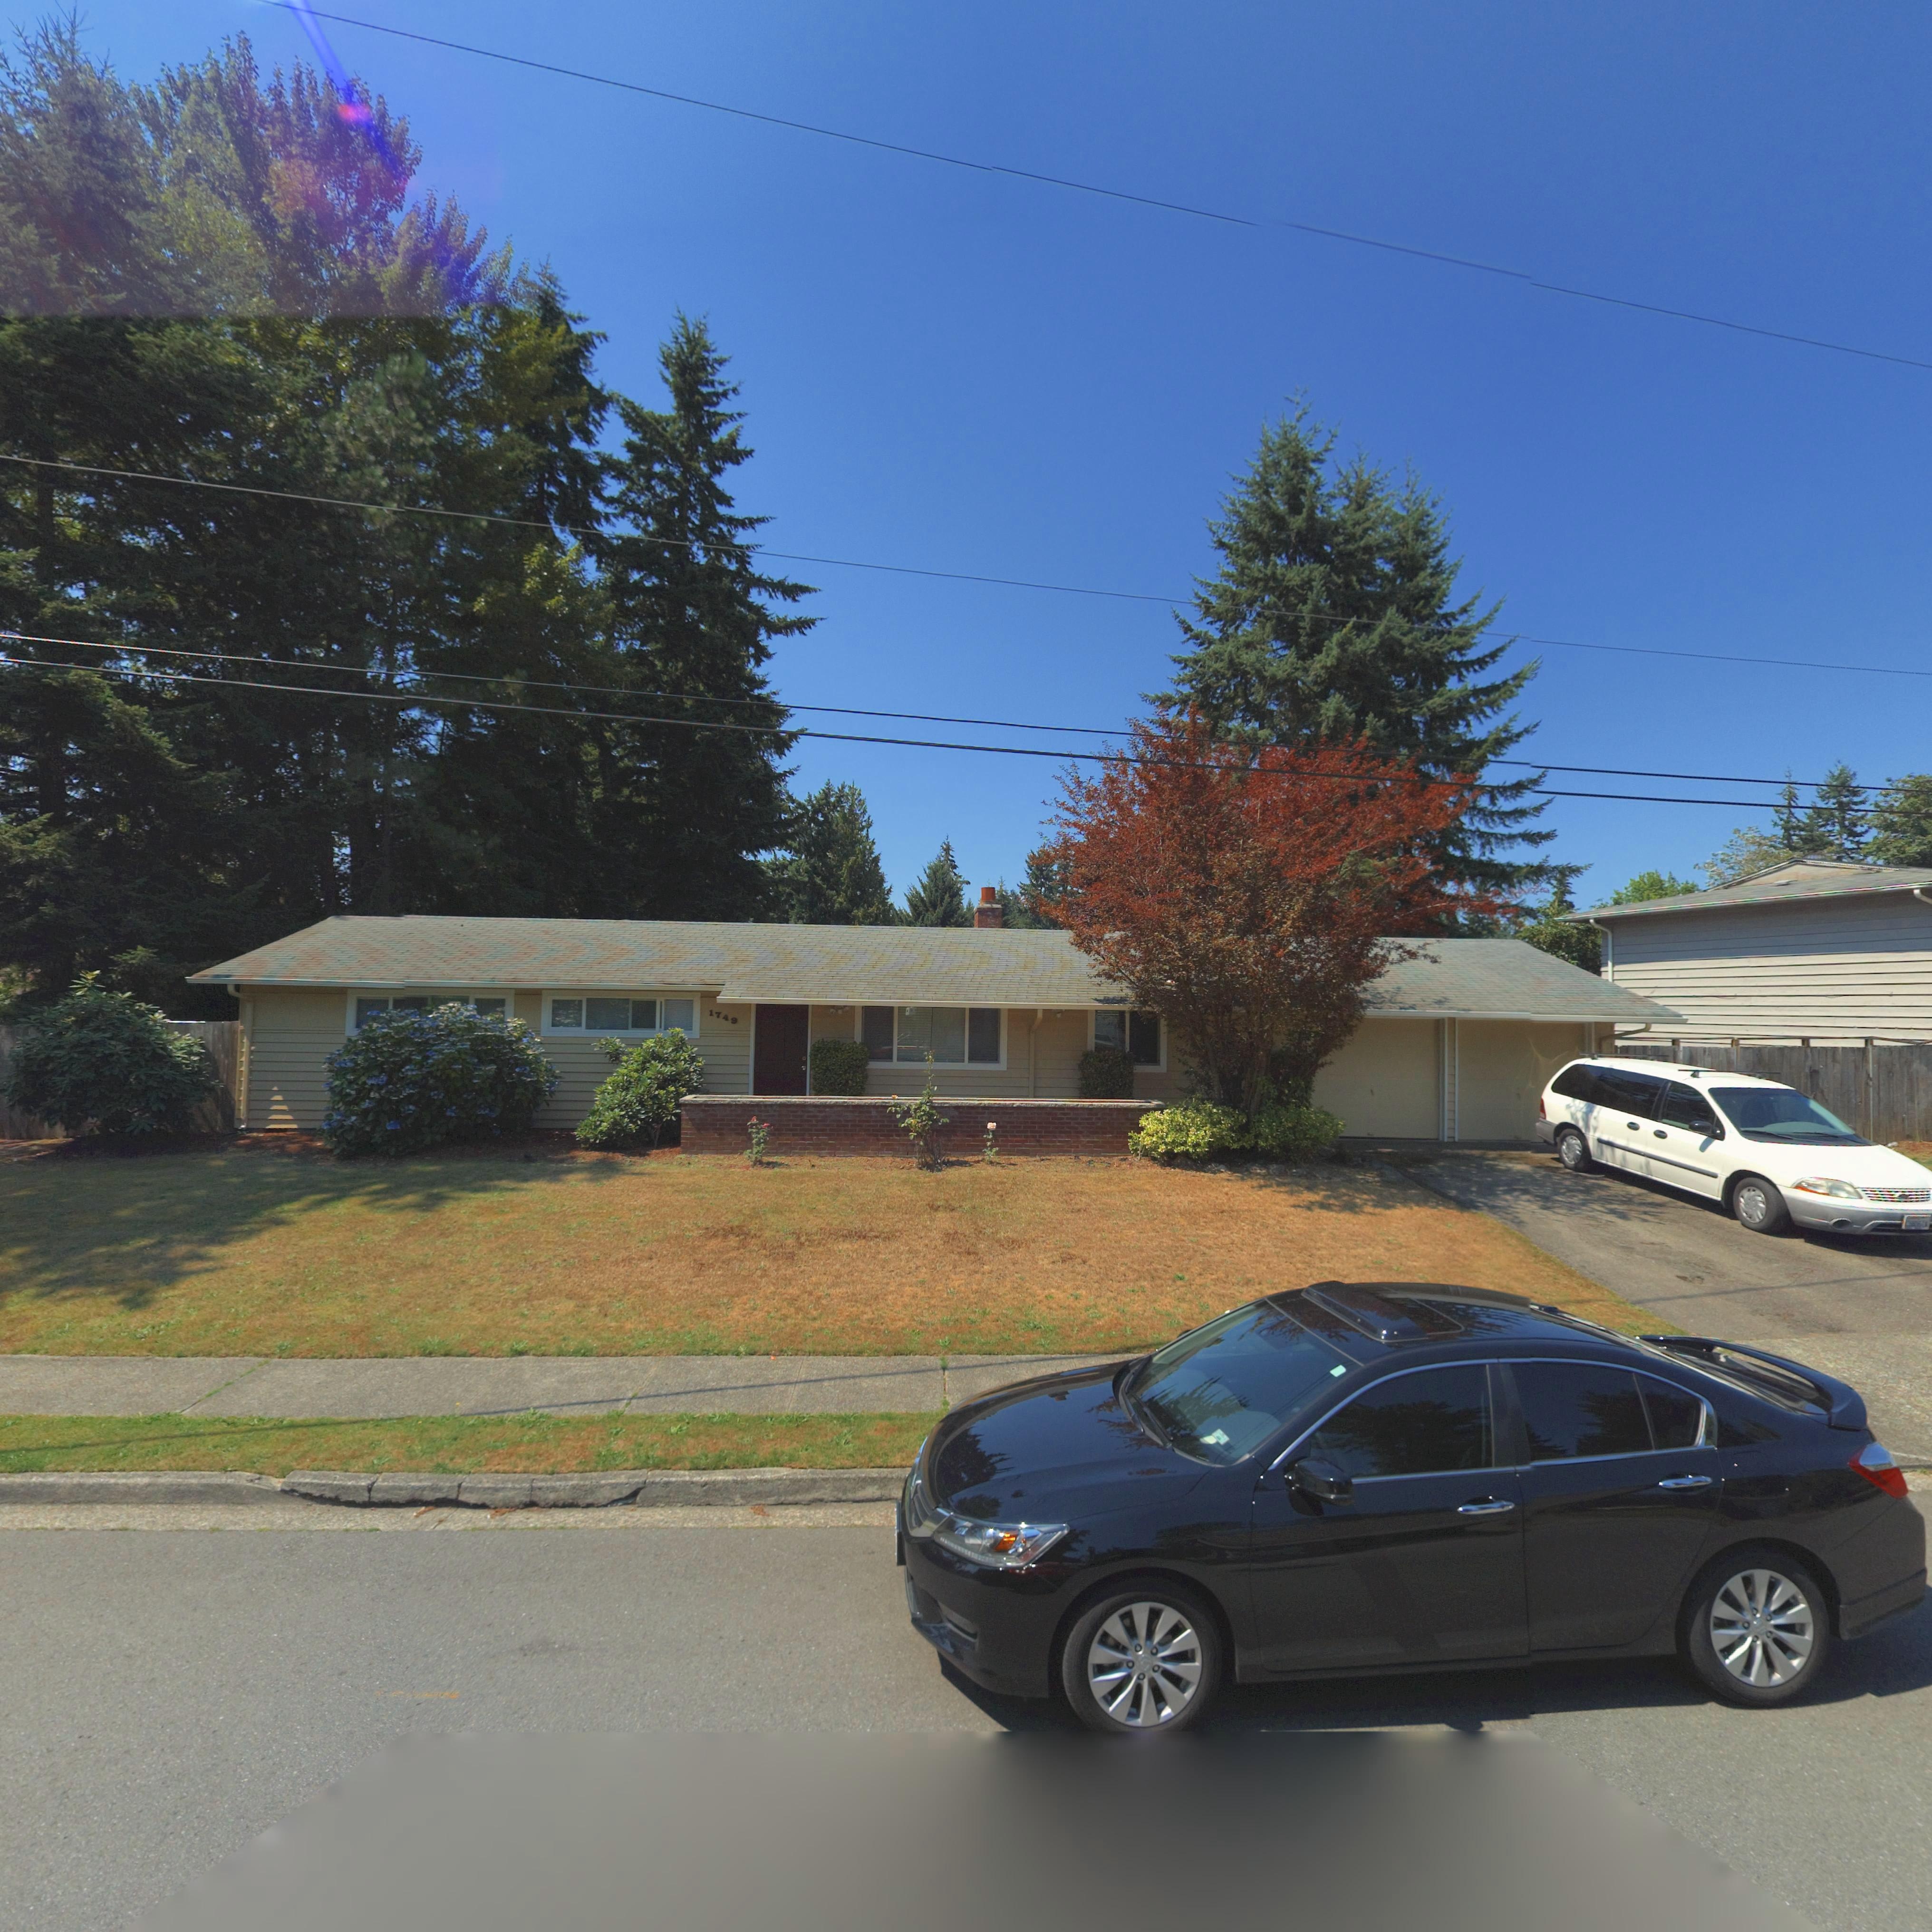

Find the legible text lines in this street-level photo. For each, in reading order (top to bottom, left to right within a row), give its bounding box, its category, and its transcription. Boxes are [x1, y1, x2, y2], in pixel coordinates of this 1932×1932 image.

[708, 1009, 737, 1024] StreetNumber: 1749